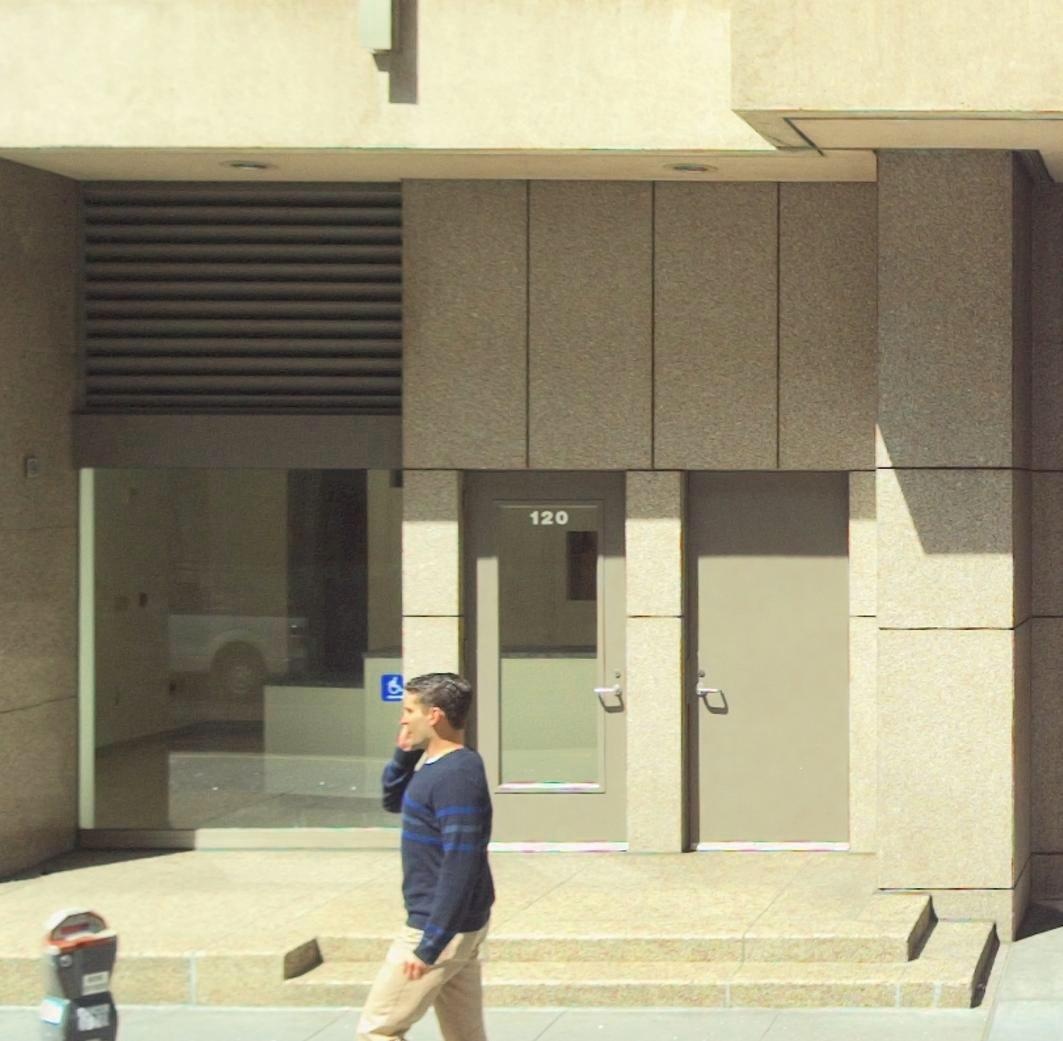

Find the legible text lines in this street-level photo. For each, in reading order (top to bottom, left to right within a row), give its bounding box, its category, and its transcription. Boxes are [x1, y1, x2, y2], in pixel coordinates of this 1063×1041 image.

[528, 509, 571, 528] StreetNumber: 120